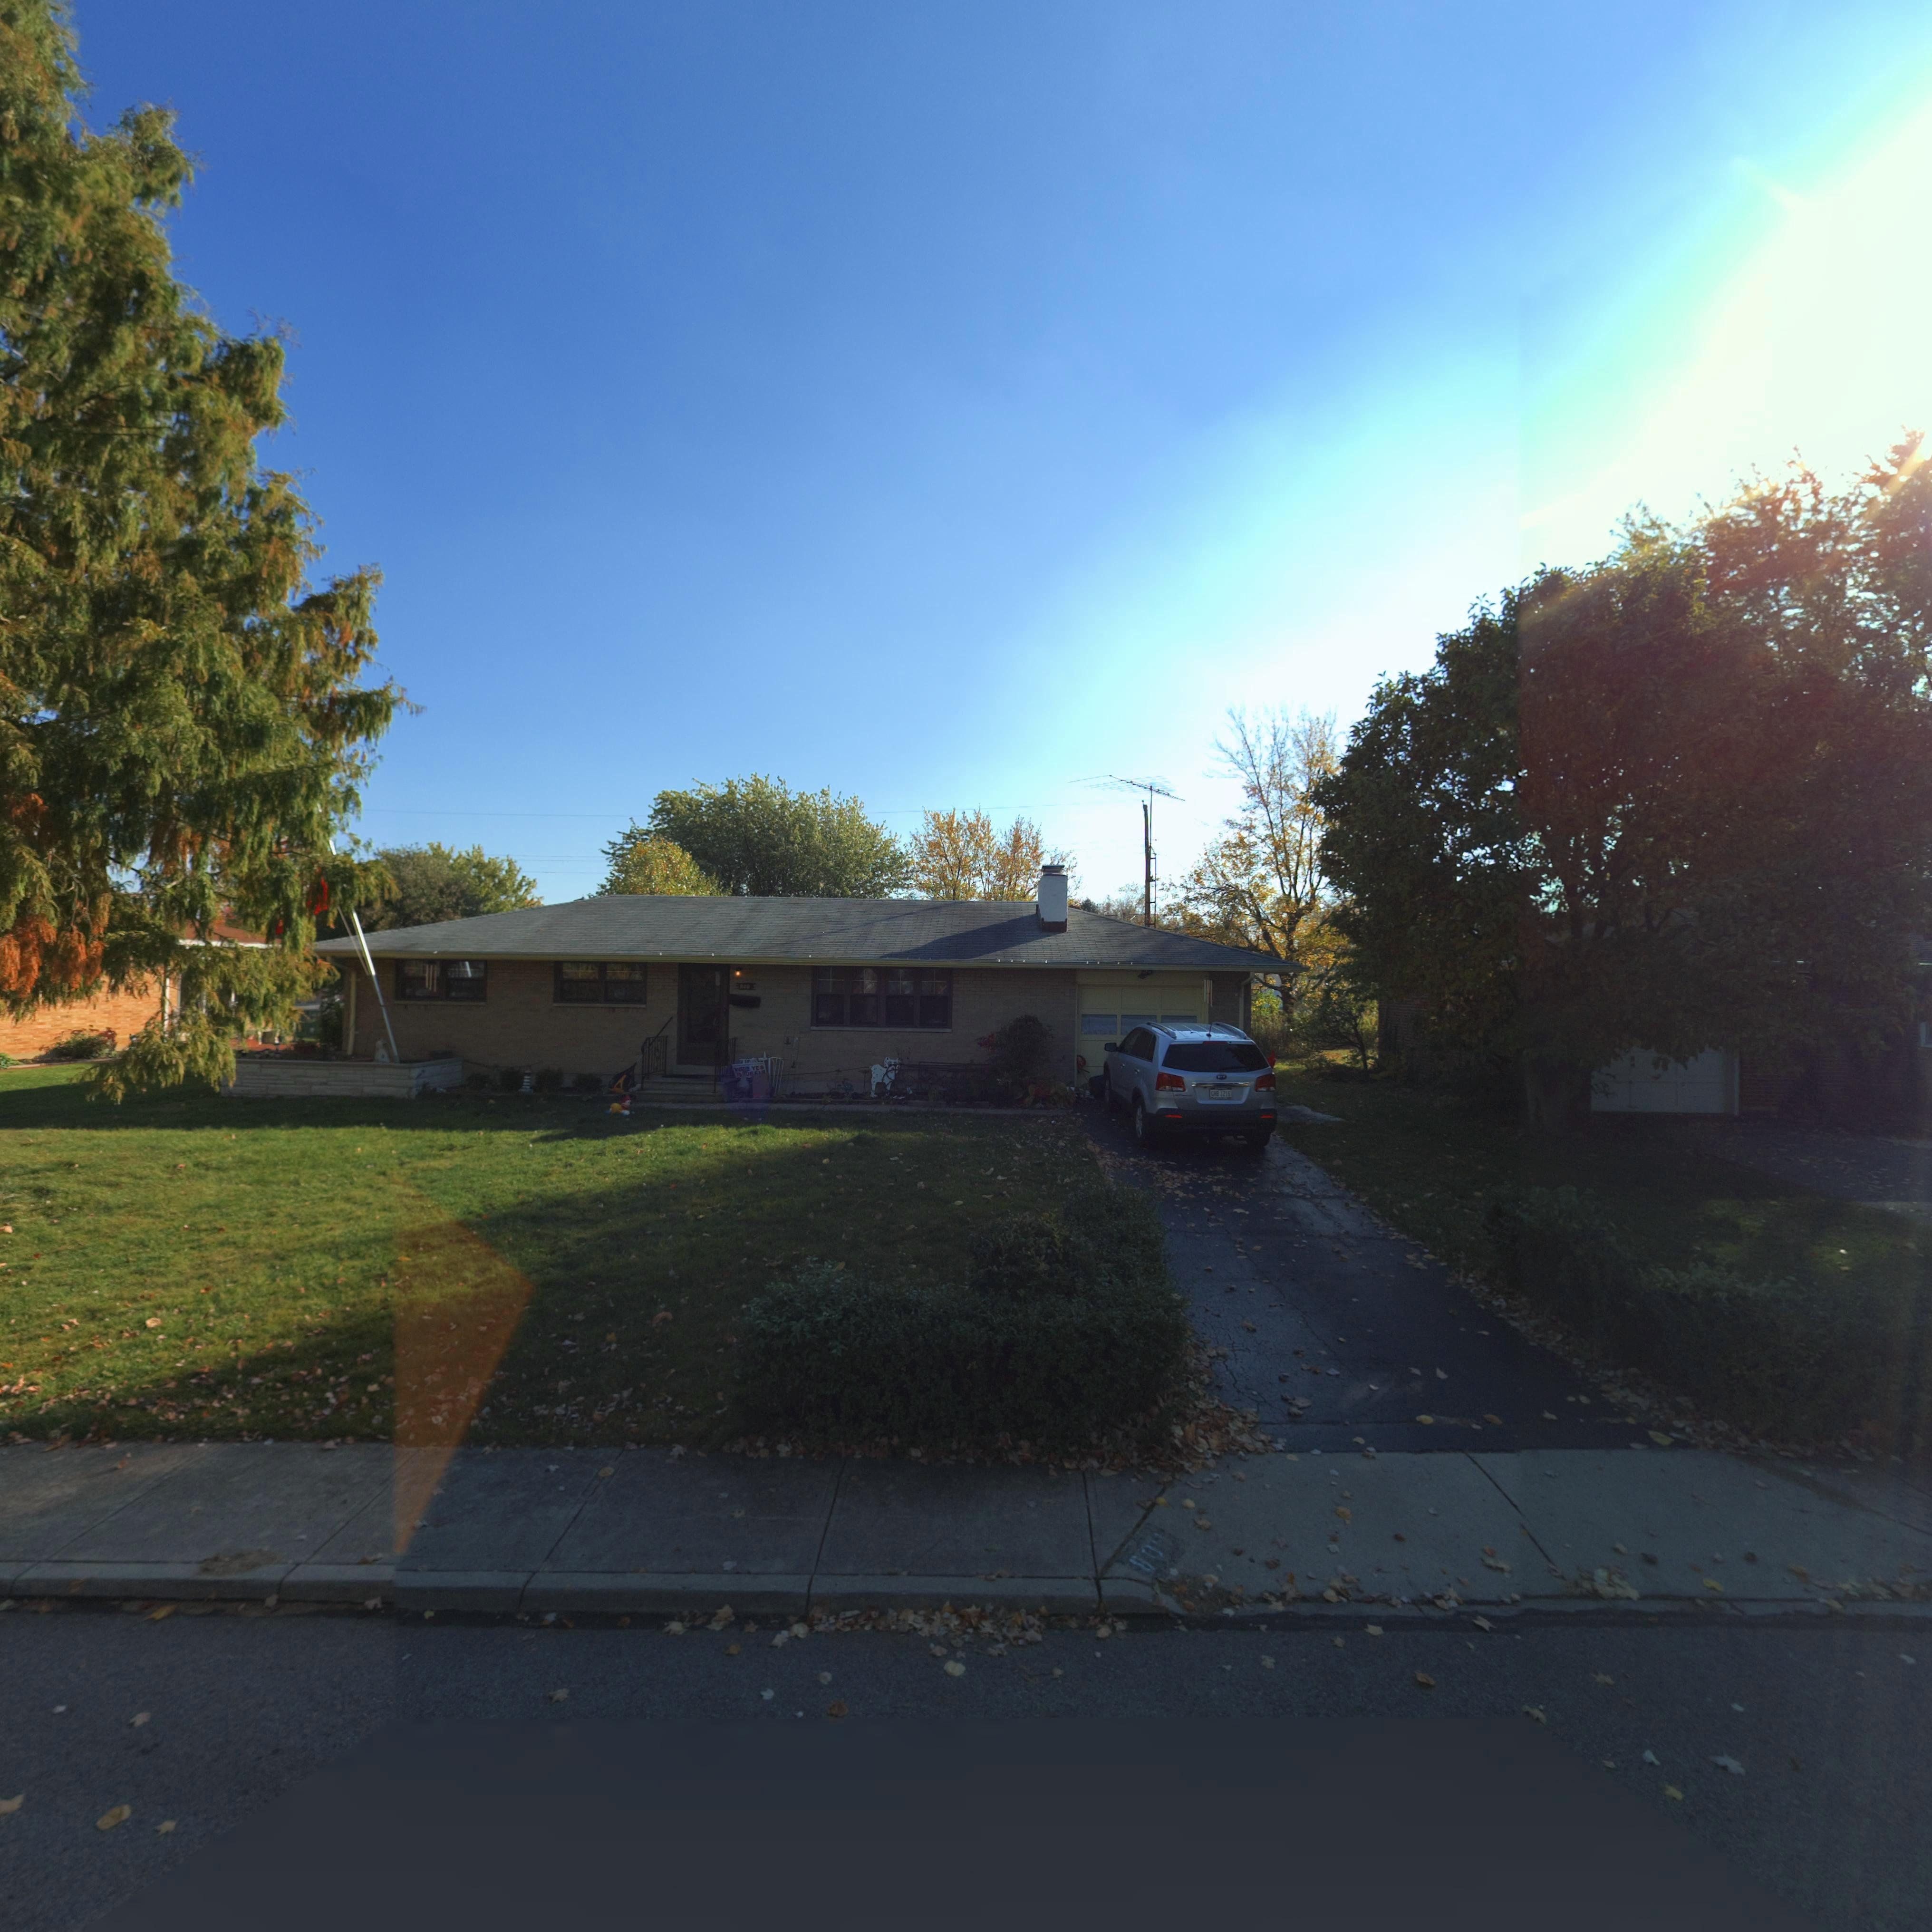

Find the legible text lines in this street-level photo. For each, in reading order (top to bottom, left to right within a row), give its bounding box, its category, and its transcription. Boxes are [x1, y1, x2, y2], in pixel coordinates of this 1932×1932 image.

[739, 984, 750, 989] StreetNumber: 800